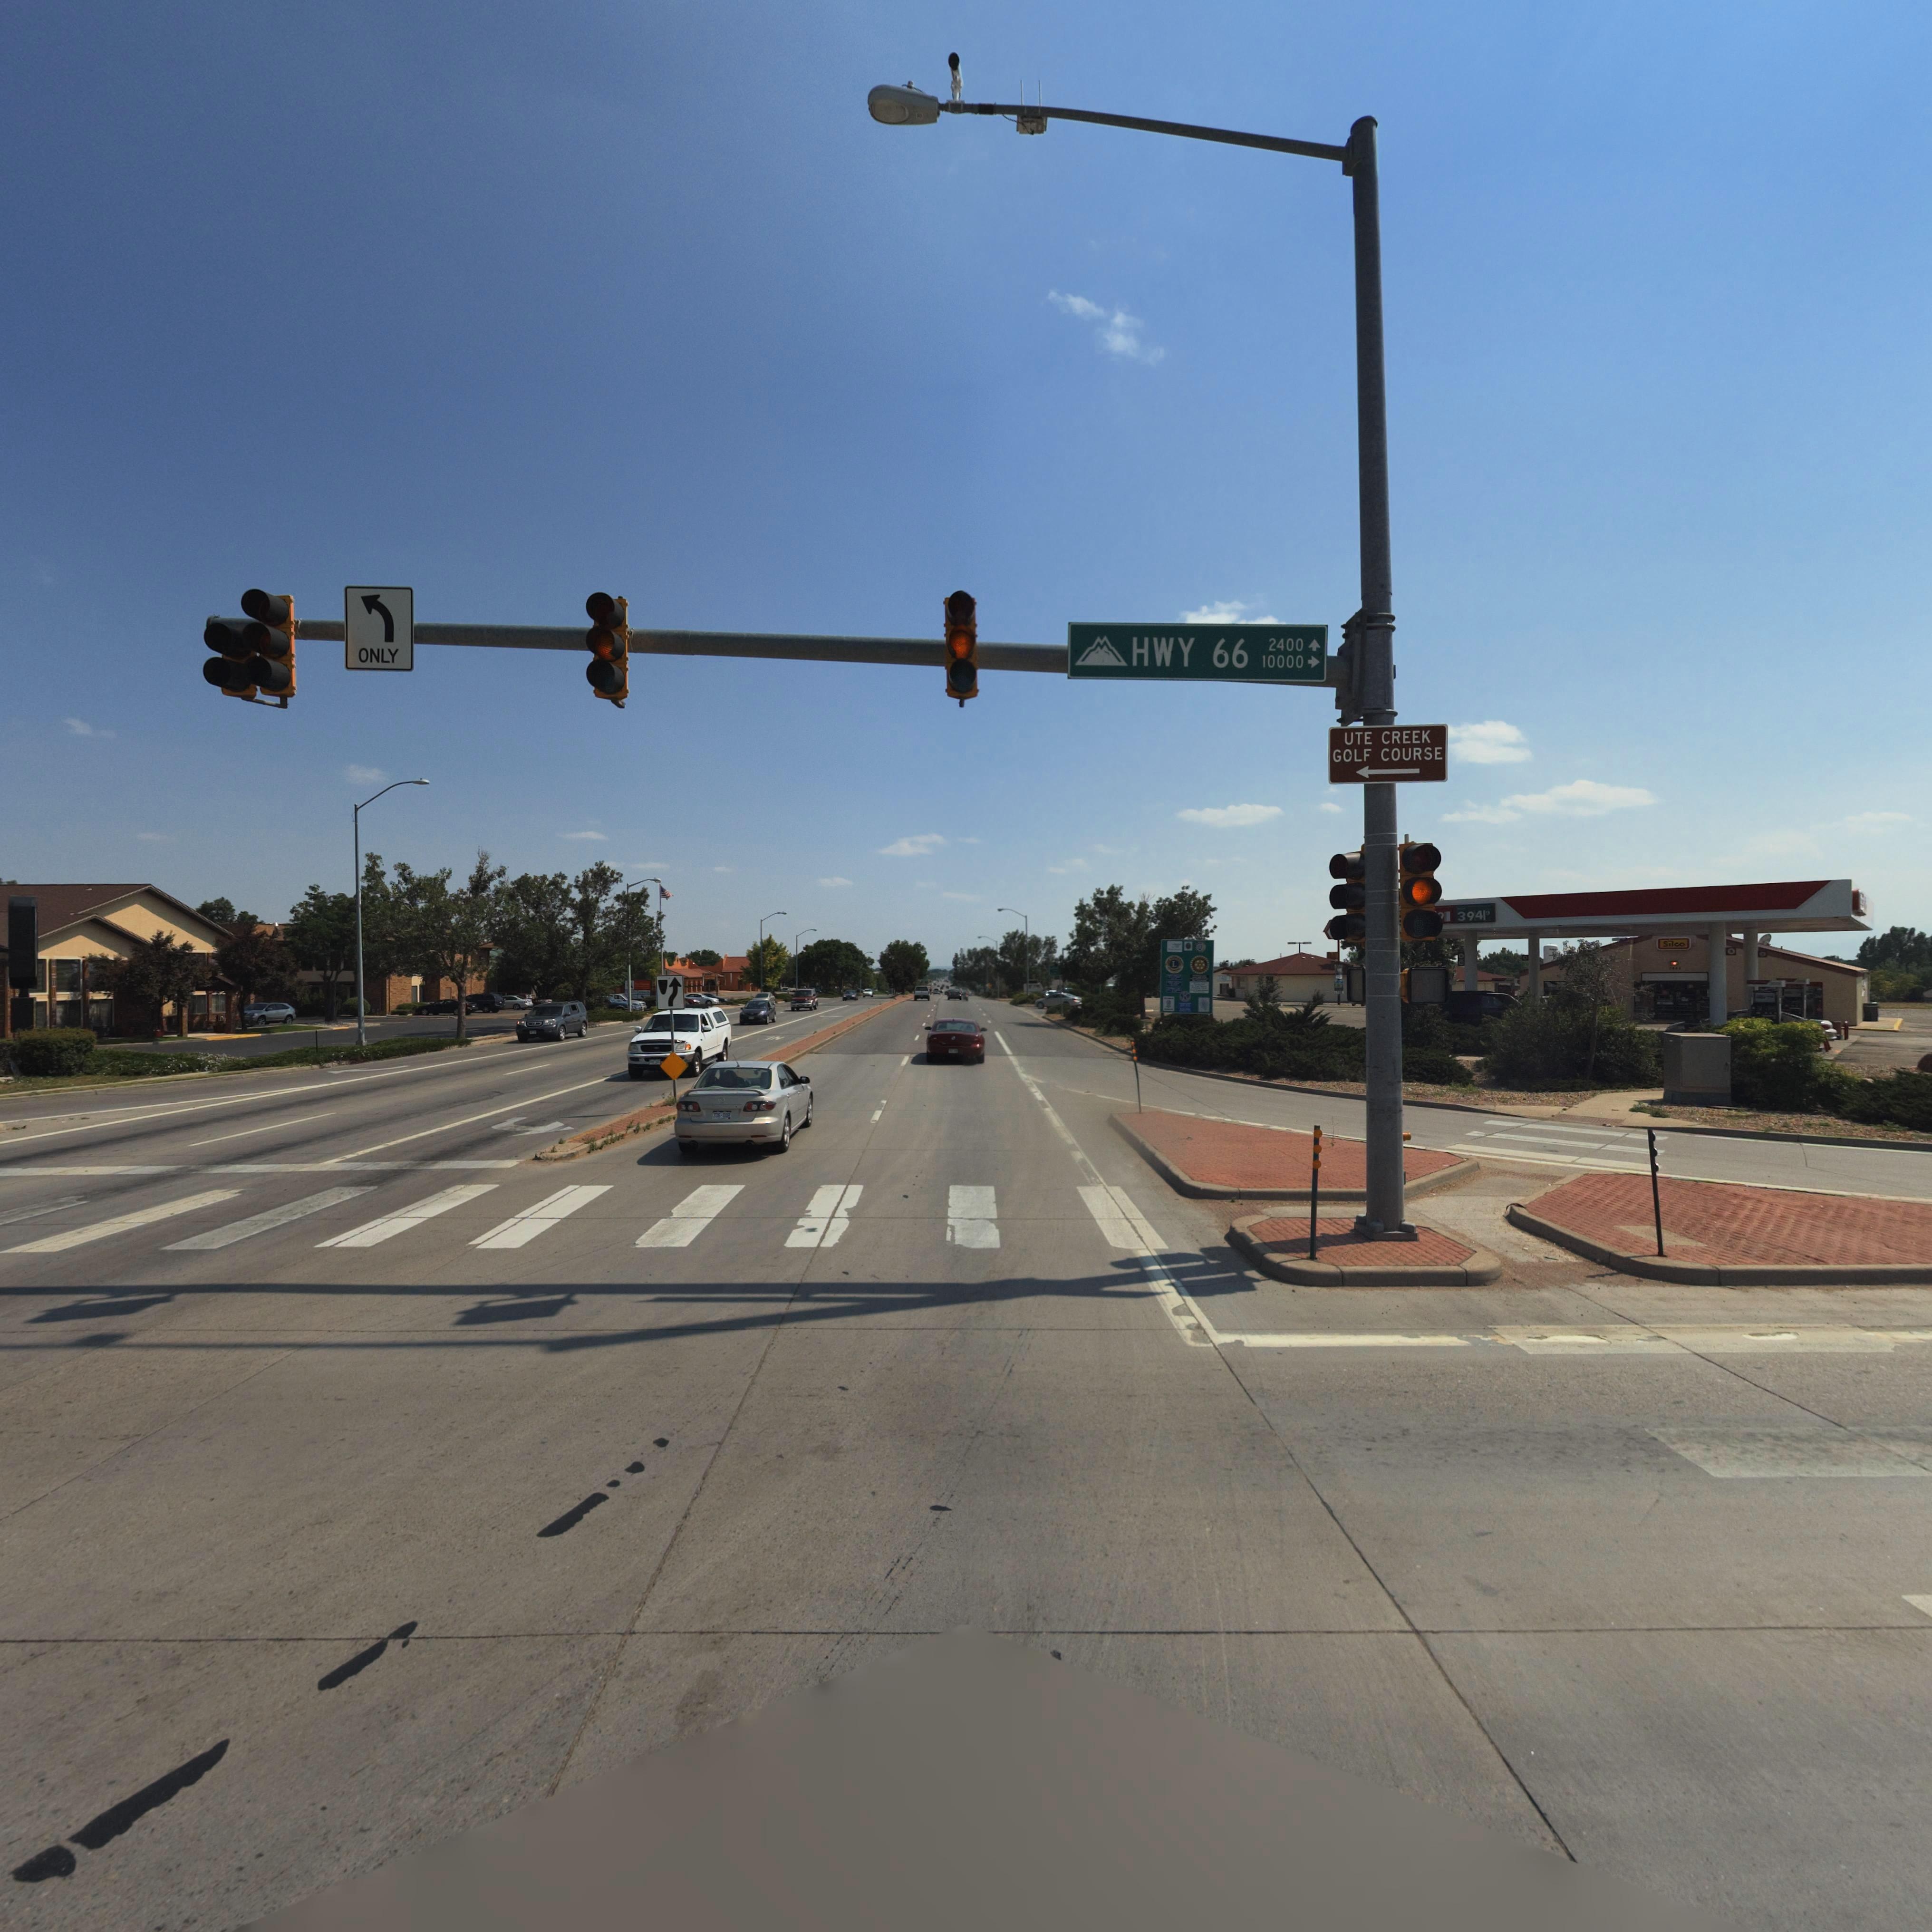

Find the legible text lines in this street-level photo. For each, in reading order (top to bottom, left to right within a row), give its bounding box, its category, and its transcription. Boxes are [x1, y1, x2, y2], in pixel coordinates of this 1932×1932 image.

[1267, 637, 1304, 652] StreetNumberRange: 2400
[1131, 635, 1248, 668] StreetName: HWY 66
[1262, 654, 1322, 668] StreetNumberRange: 10000->
[1662, 939, 1685, 947] BusinessName: Silco
[1669, 966, 1681, 970] StreetNumber: 14**